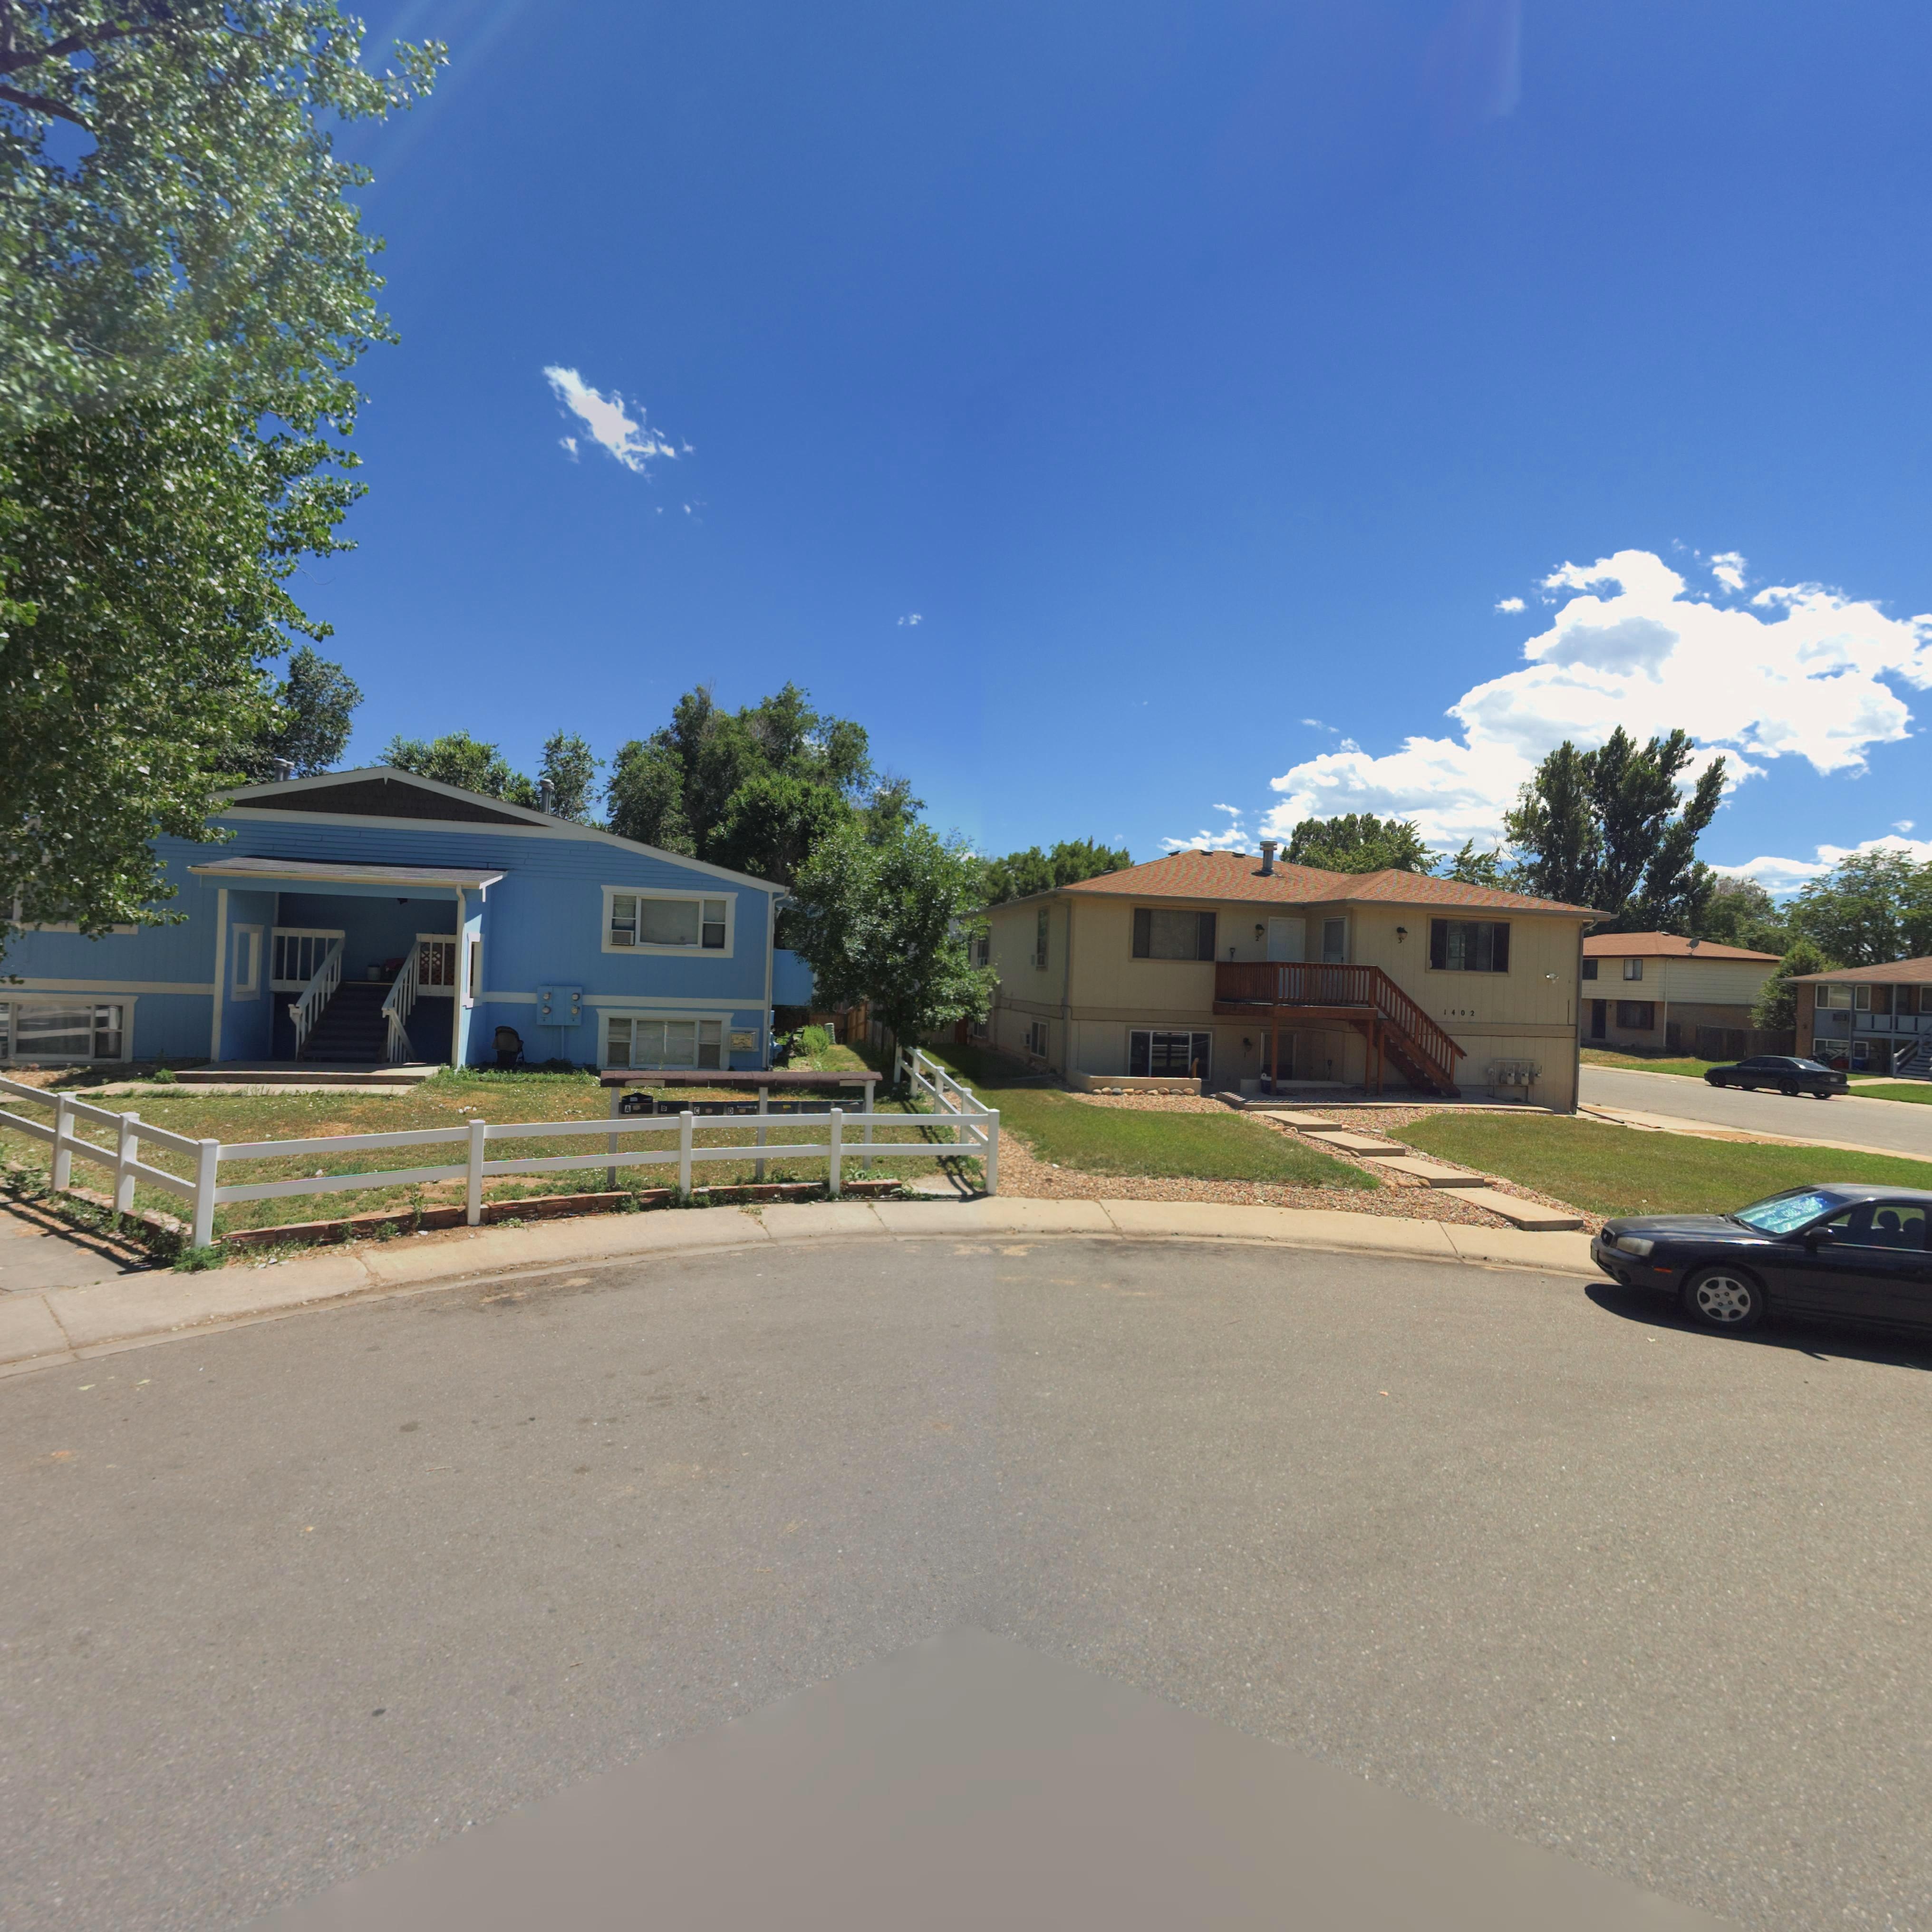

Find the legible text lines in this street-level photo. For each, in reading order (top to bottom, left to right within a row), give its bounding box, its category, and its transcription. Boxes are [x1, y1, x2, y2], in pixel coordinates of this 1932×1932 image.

[1444, 1008, 1475, 1016] StreetNumber: 1402